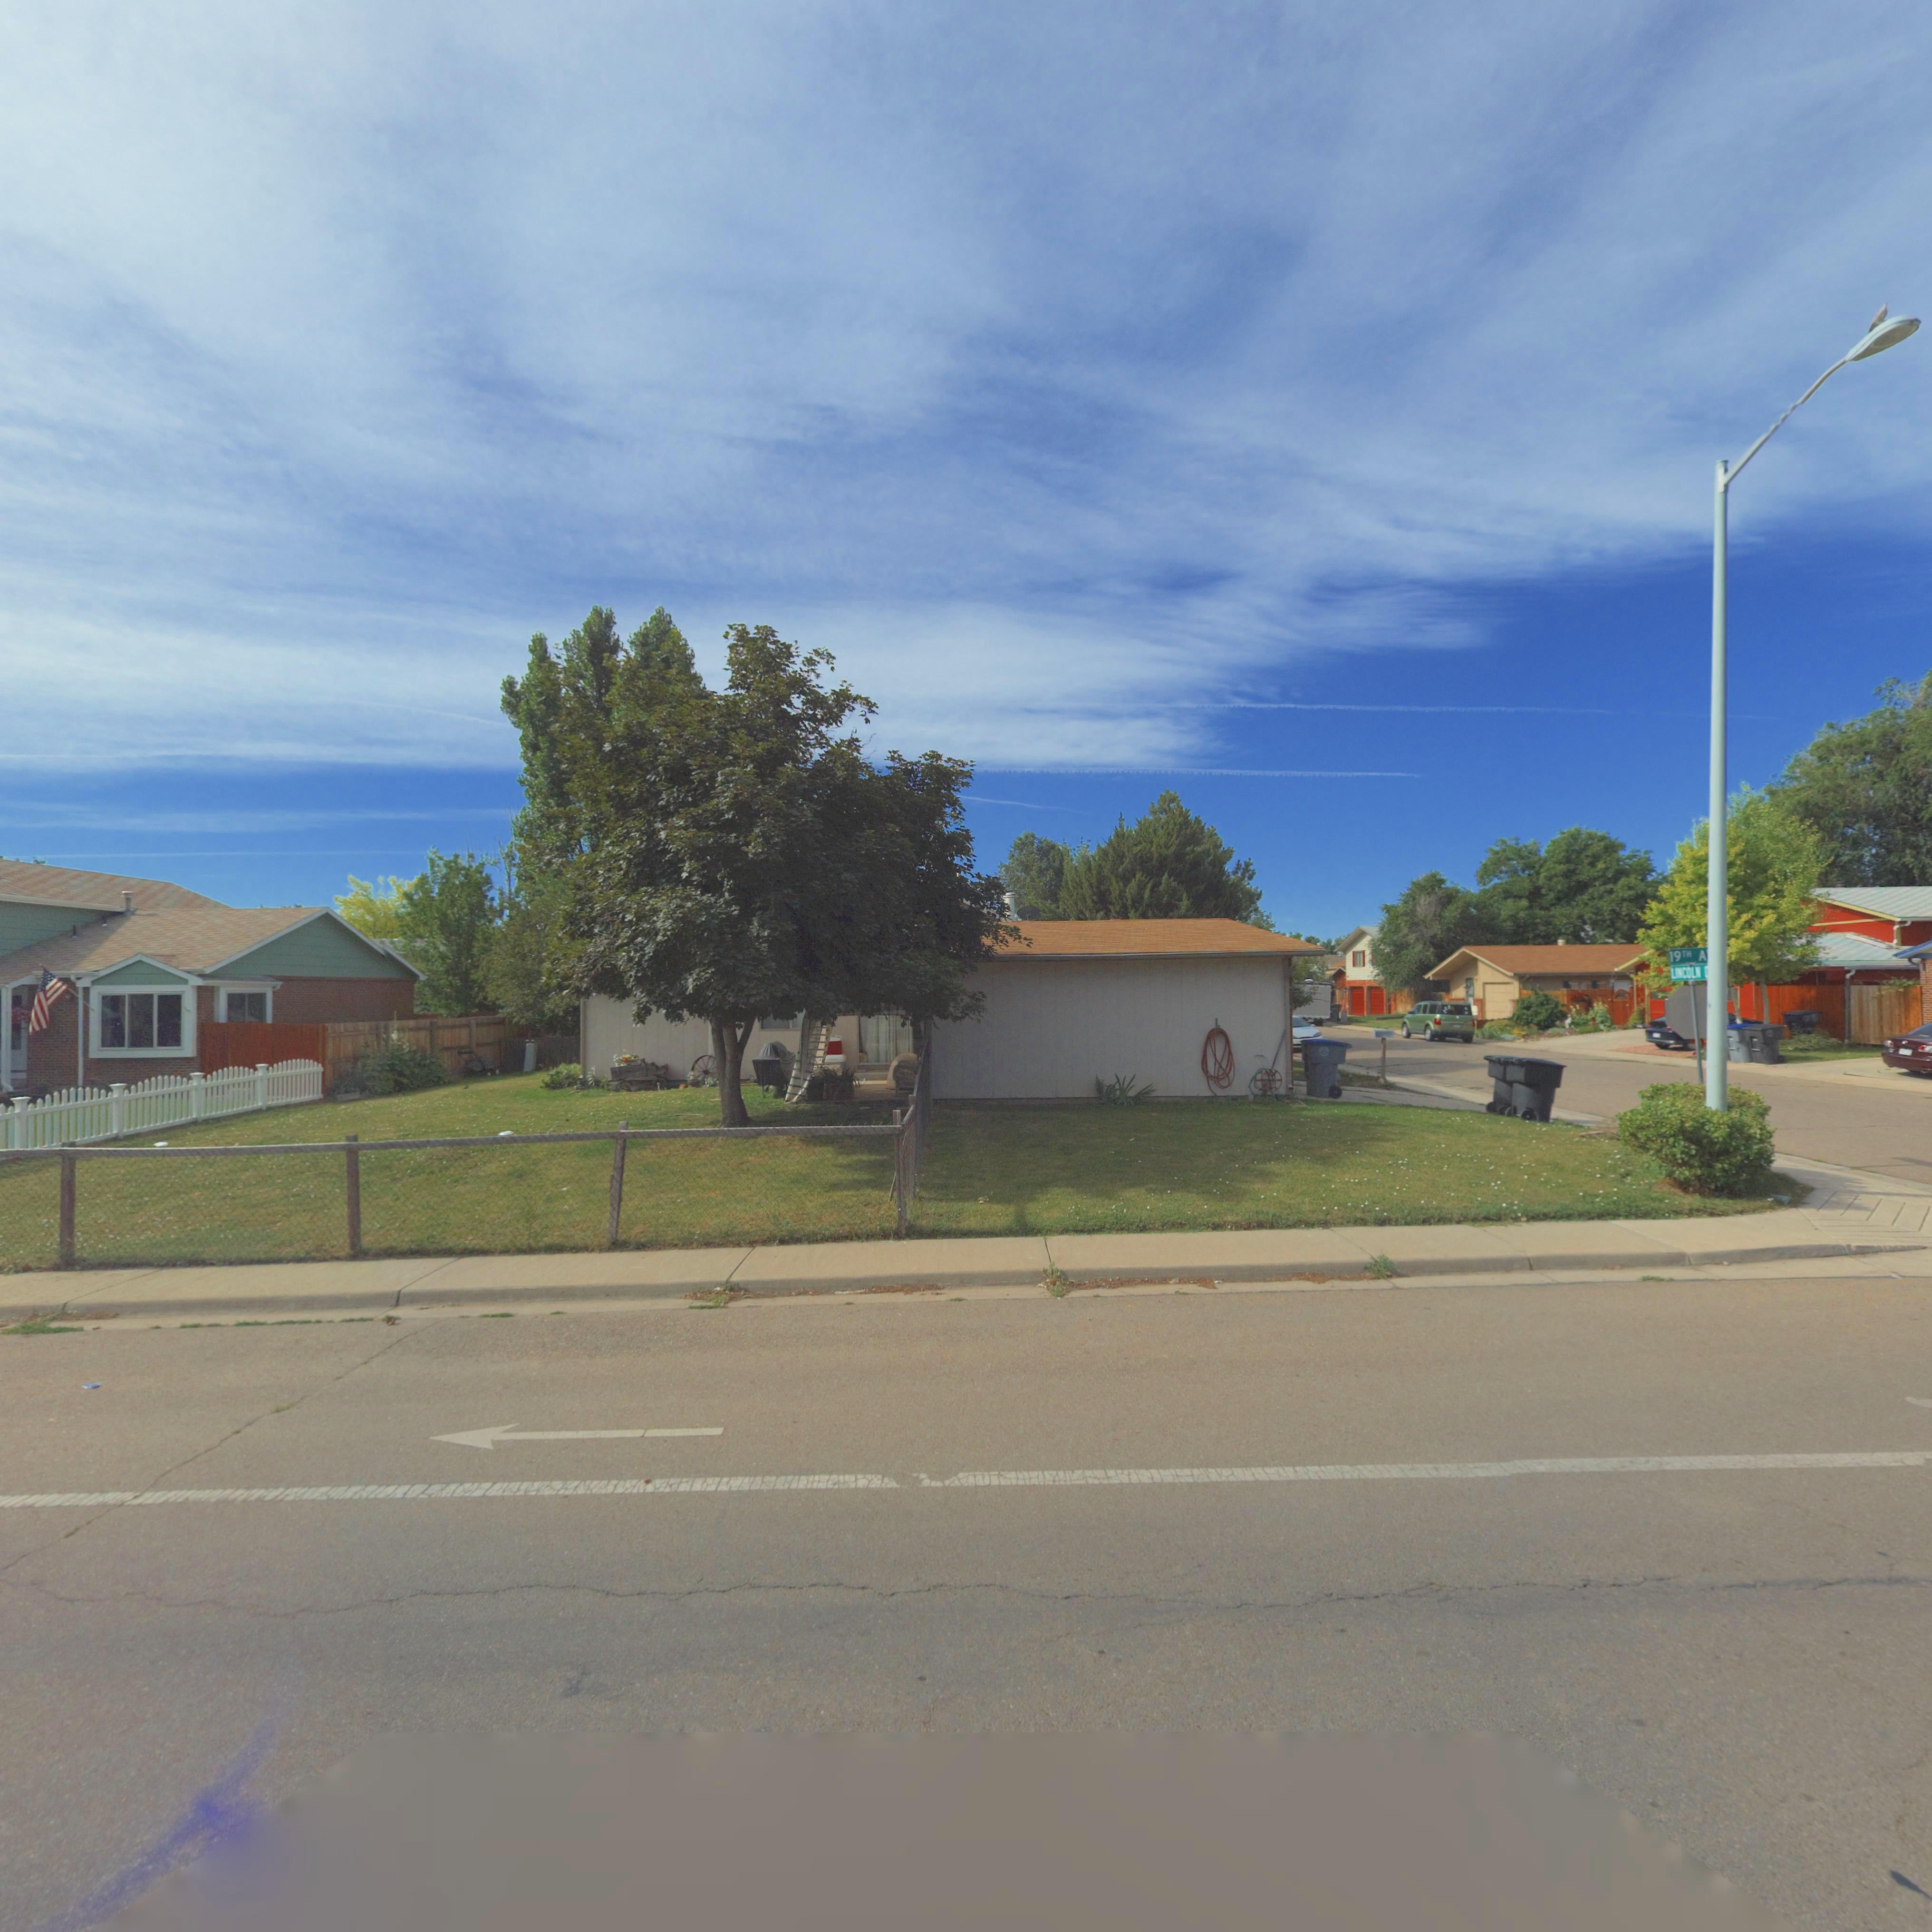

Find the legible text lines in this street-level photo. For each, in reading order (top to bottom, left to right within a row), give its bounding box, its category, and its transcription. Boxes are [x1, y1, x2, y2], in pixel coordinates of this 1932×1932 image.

[1668, 948, 1706, 963] StreetName: 19TH A
[1671, 966, 1702, 980] StreetName: LINCOLN